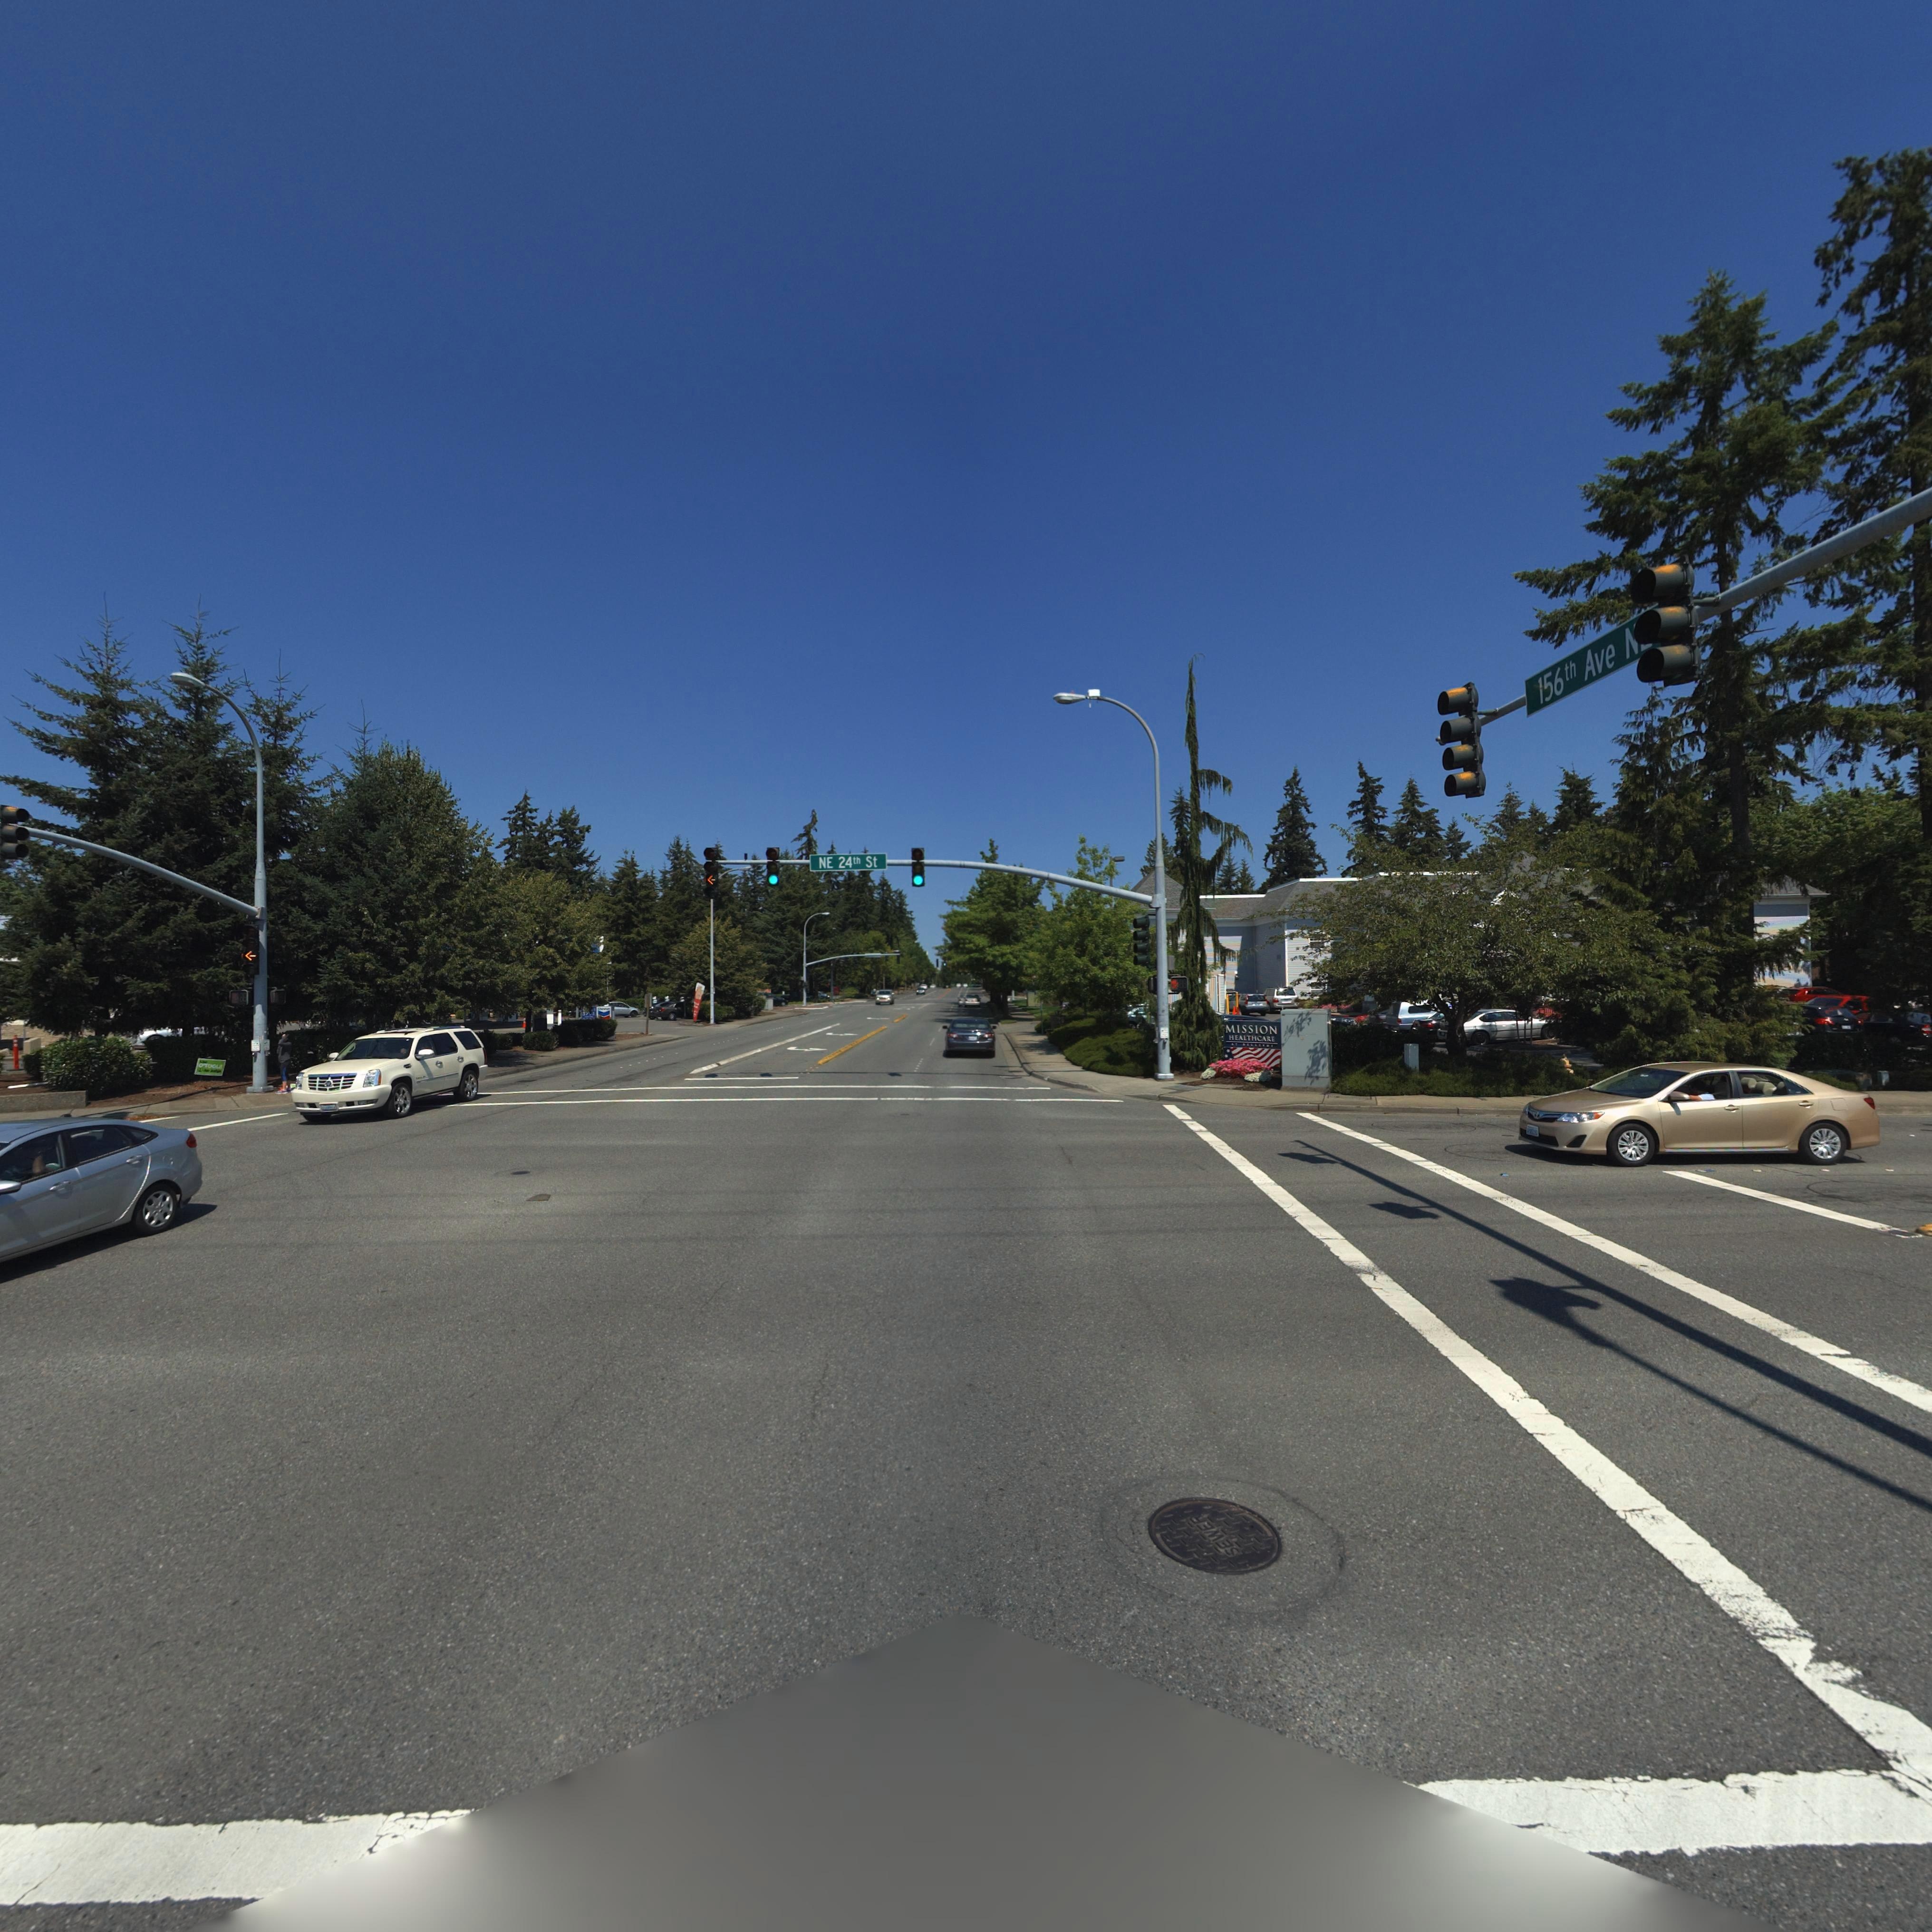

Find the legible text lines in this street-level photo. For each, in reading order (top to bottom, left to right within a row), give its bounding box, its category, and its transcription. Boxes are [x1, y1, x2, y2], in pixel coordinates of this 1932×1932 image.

[1536, 637, 1616, 706] StreetName: 156th Ave
[819, 856, 878, 868] StreetName: NE 24th St
[1226, 1025, 1276, 1034] BusinessName: MISSION
[1228, 1035, 1275, 1042] BusinessName: HEALTHCARE